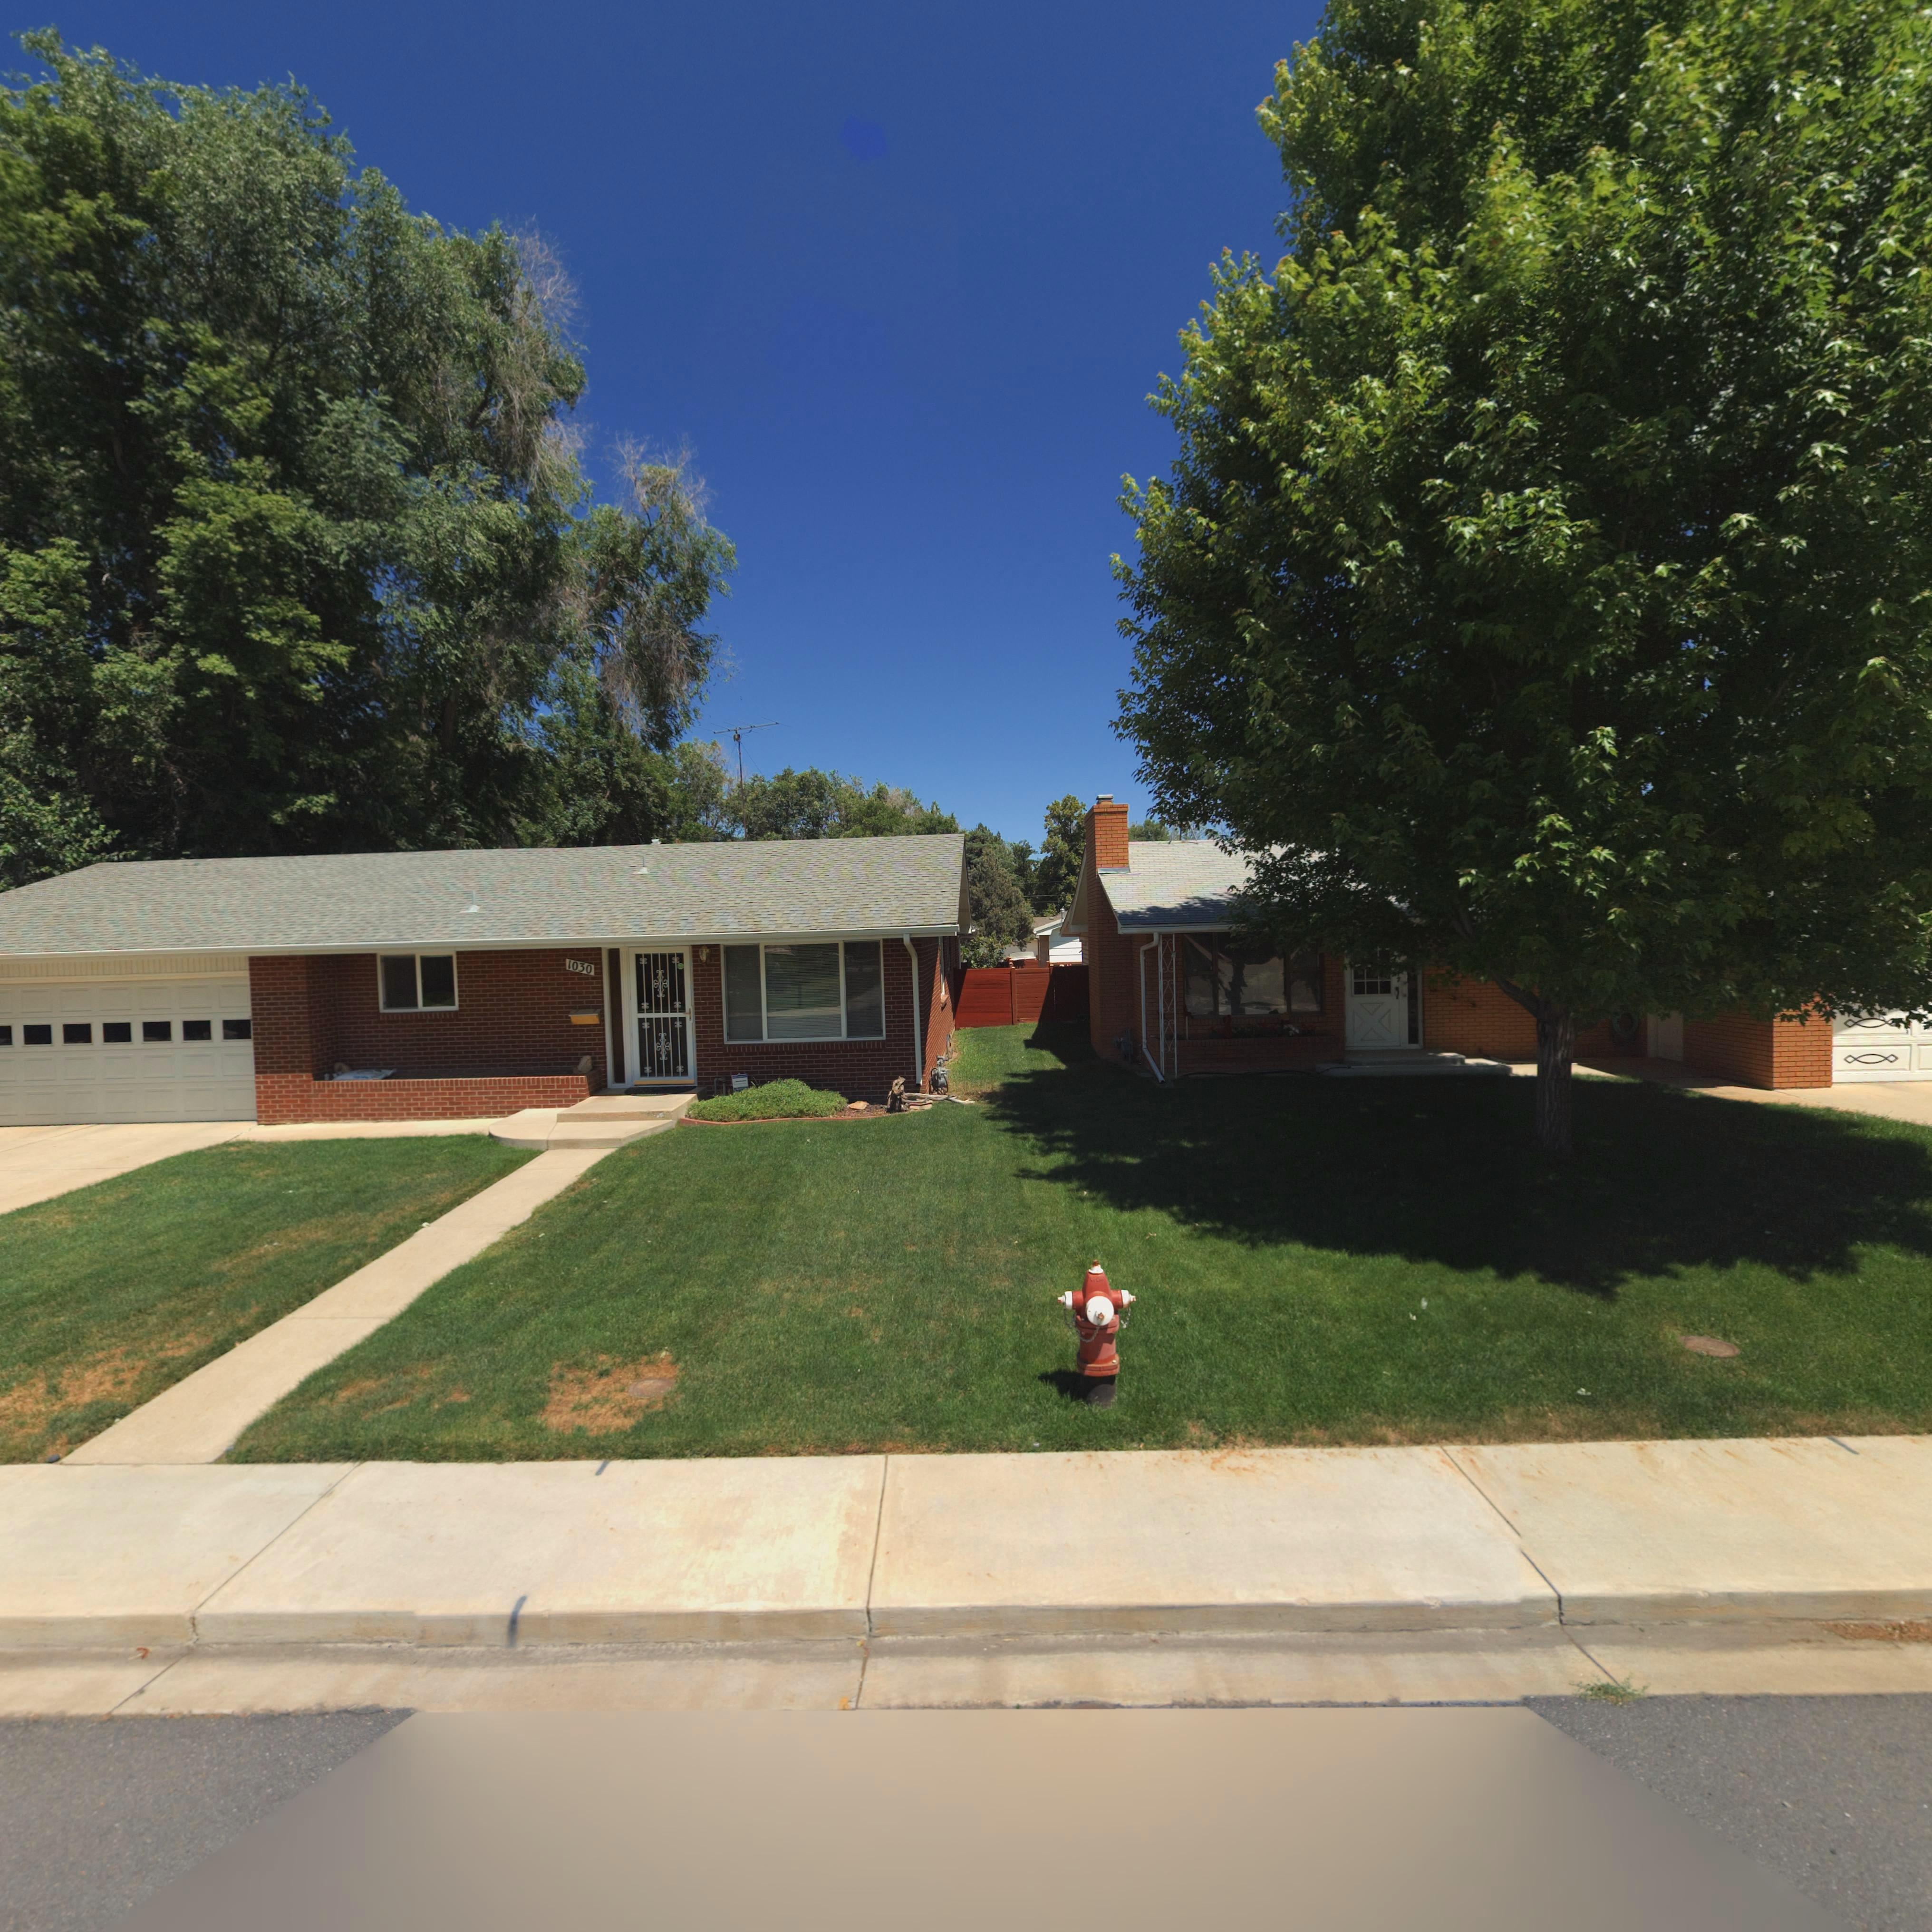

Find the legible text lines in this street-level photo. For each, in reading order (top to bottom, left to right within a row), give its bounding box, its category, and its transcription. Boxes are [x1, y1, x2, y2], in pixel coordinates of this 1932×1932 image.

[568, 960, 592, 974] StreetNumber: 1030